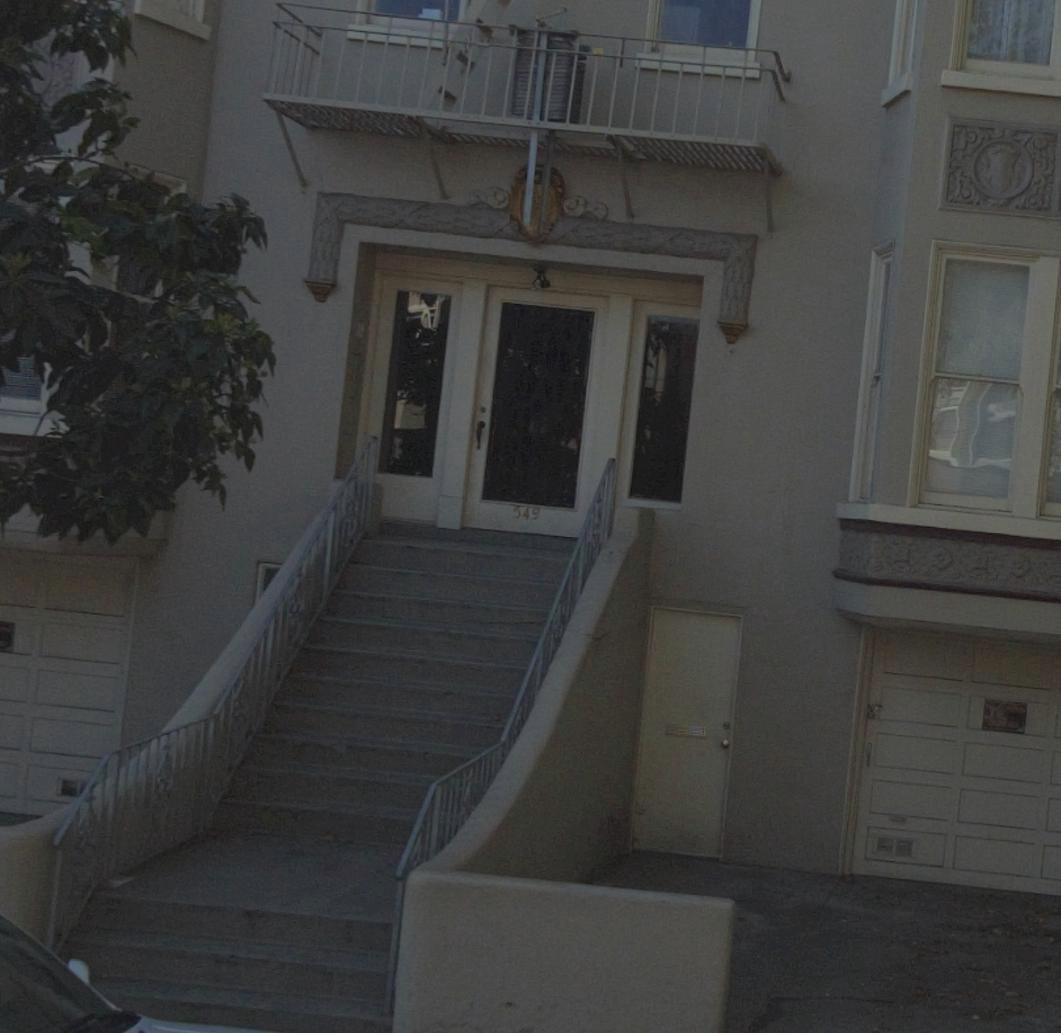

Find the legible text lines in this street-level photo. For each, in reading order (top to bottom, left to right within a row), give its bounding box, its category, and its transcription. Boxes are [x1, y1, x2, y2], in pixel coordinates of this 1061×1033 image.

[512, 504, 543, 521] StreetNumber: 549